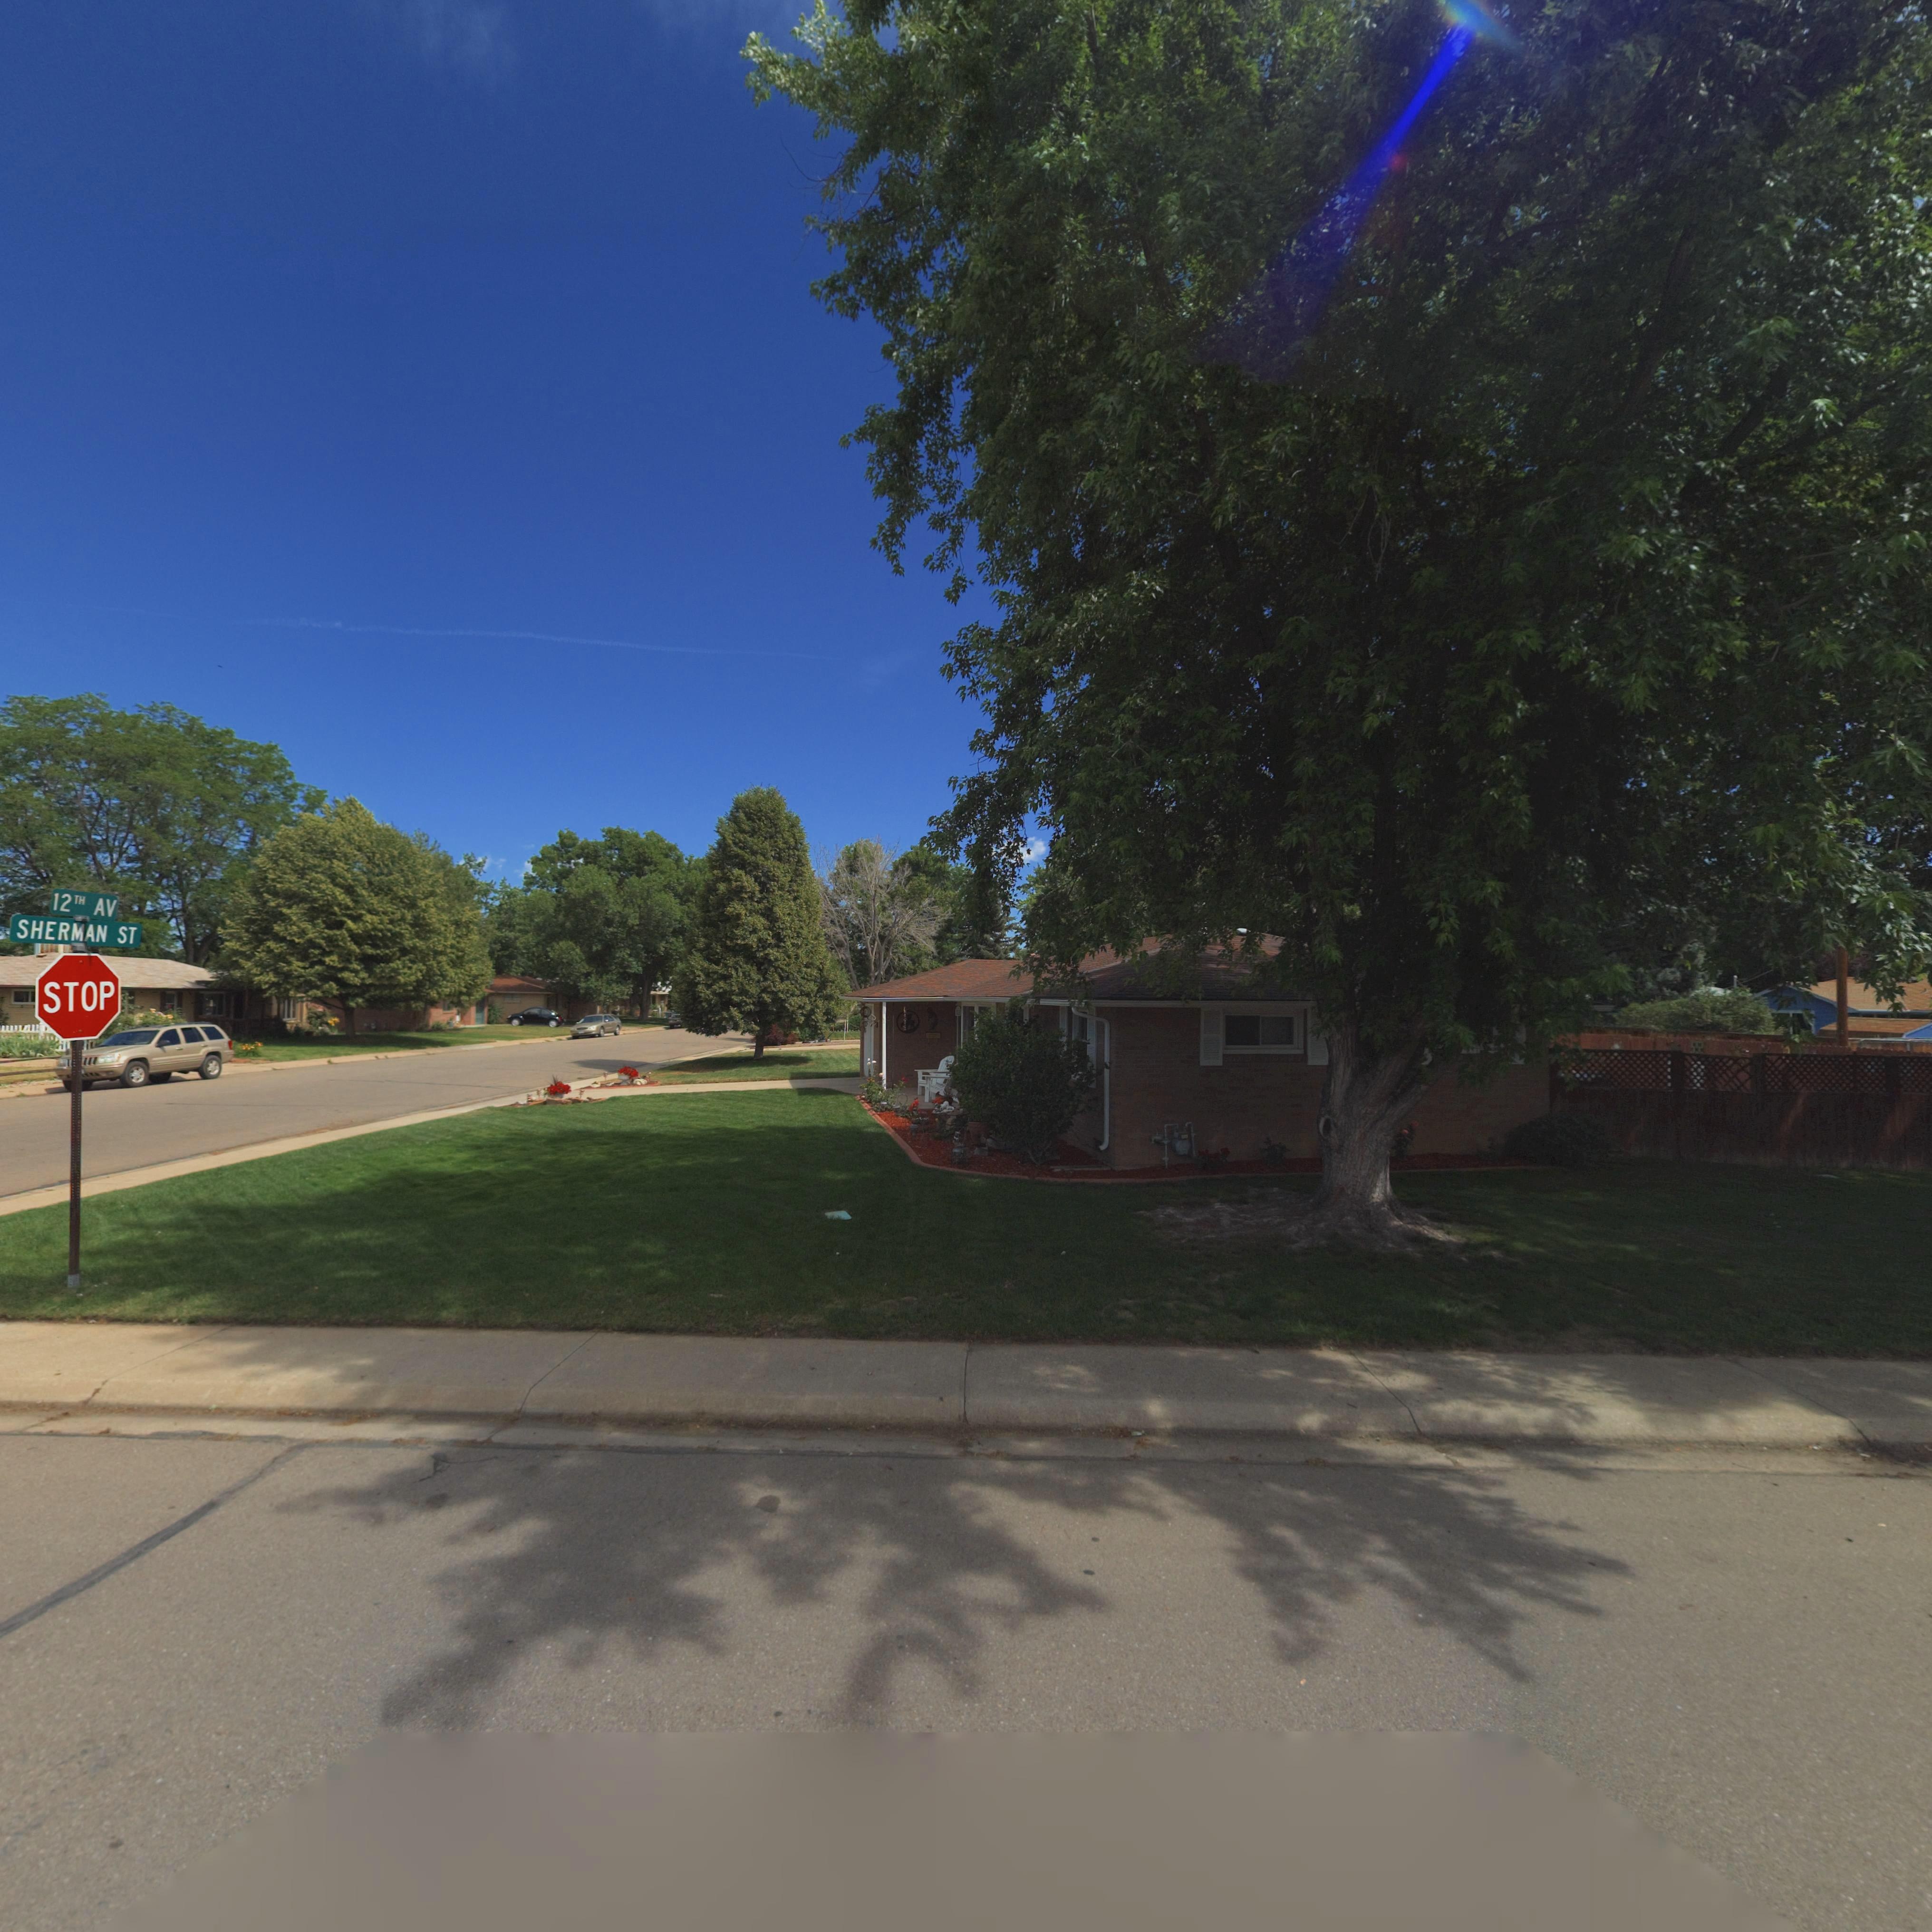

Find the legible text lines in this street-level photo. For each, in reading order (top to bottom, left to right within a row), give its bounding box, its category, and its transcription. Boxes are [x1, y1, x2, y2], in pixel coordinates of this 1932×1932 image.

[52, 892, 117, 918] StreetName: 12TH AV
[16, 918, 138, 945] StreetName: SHERMAN ST